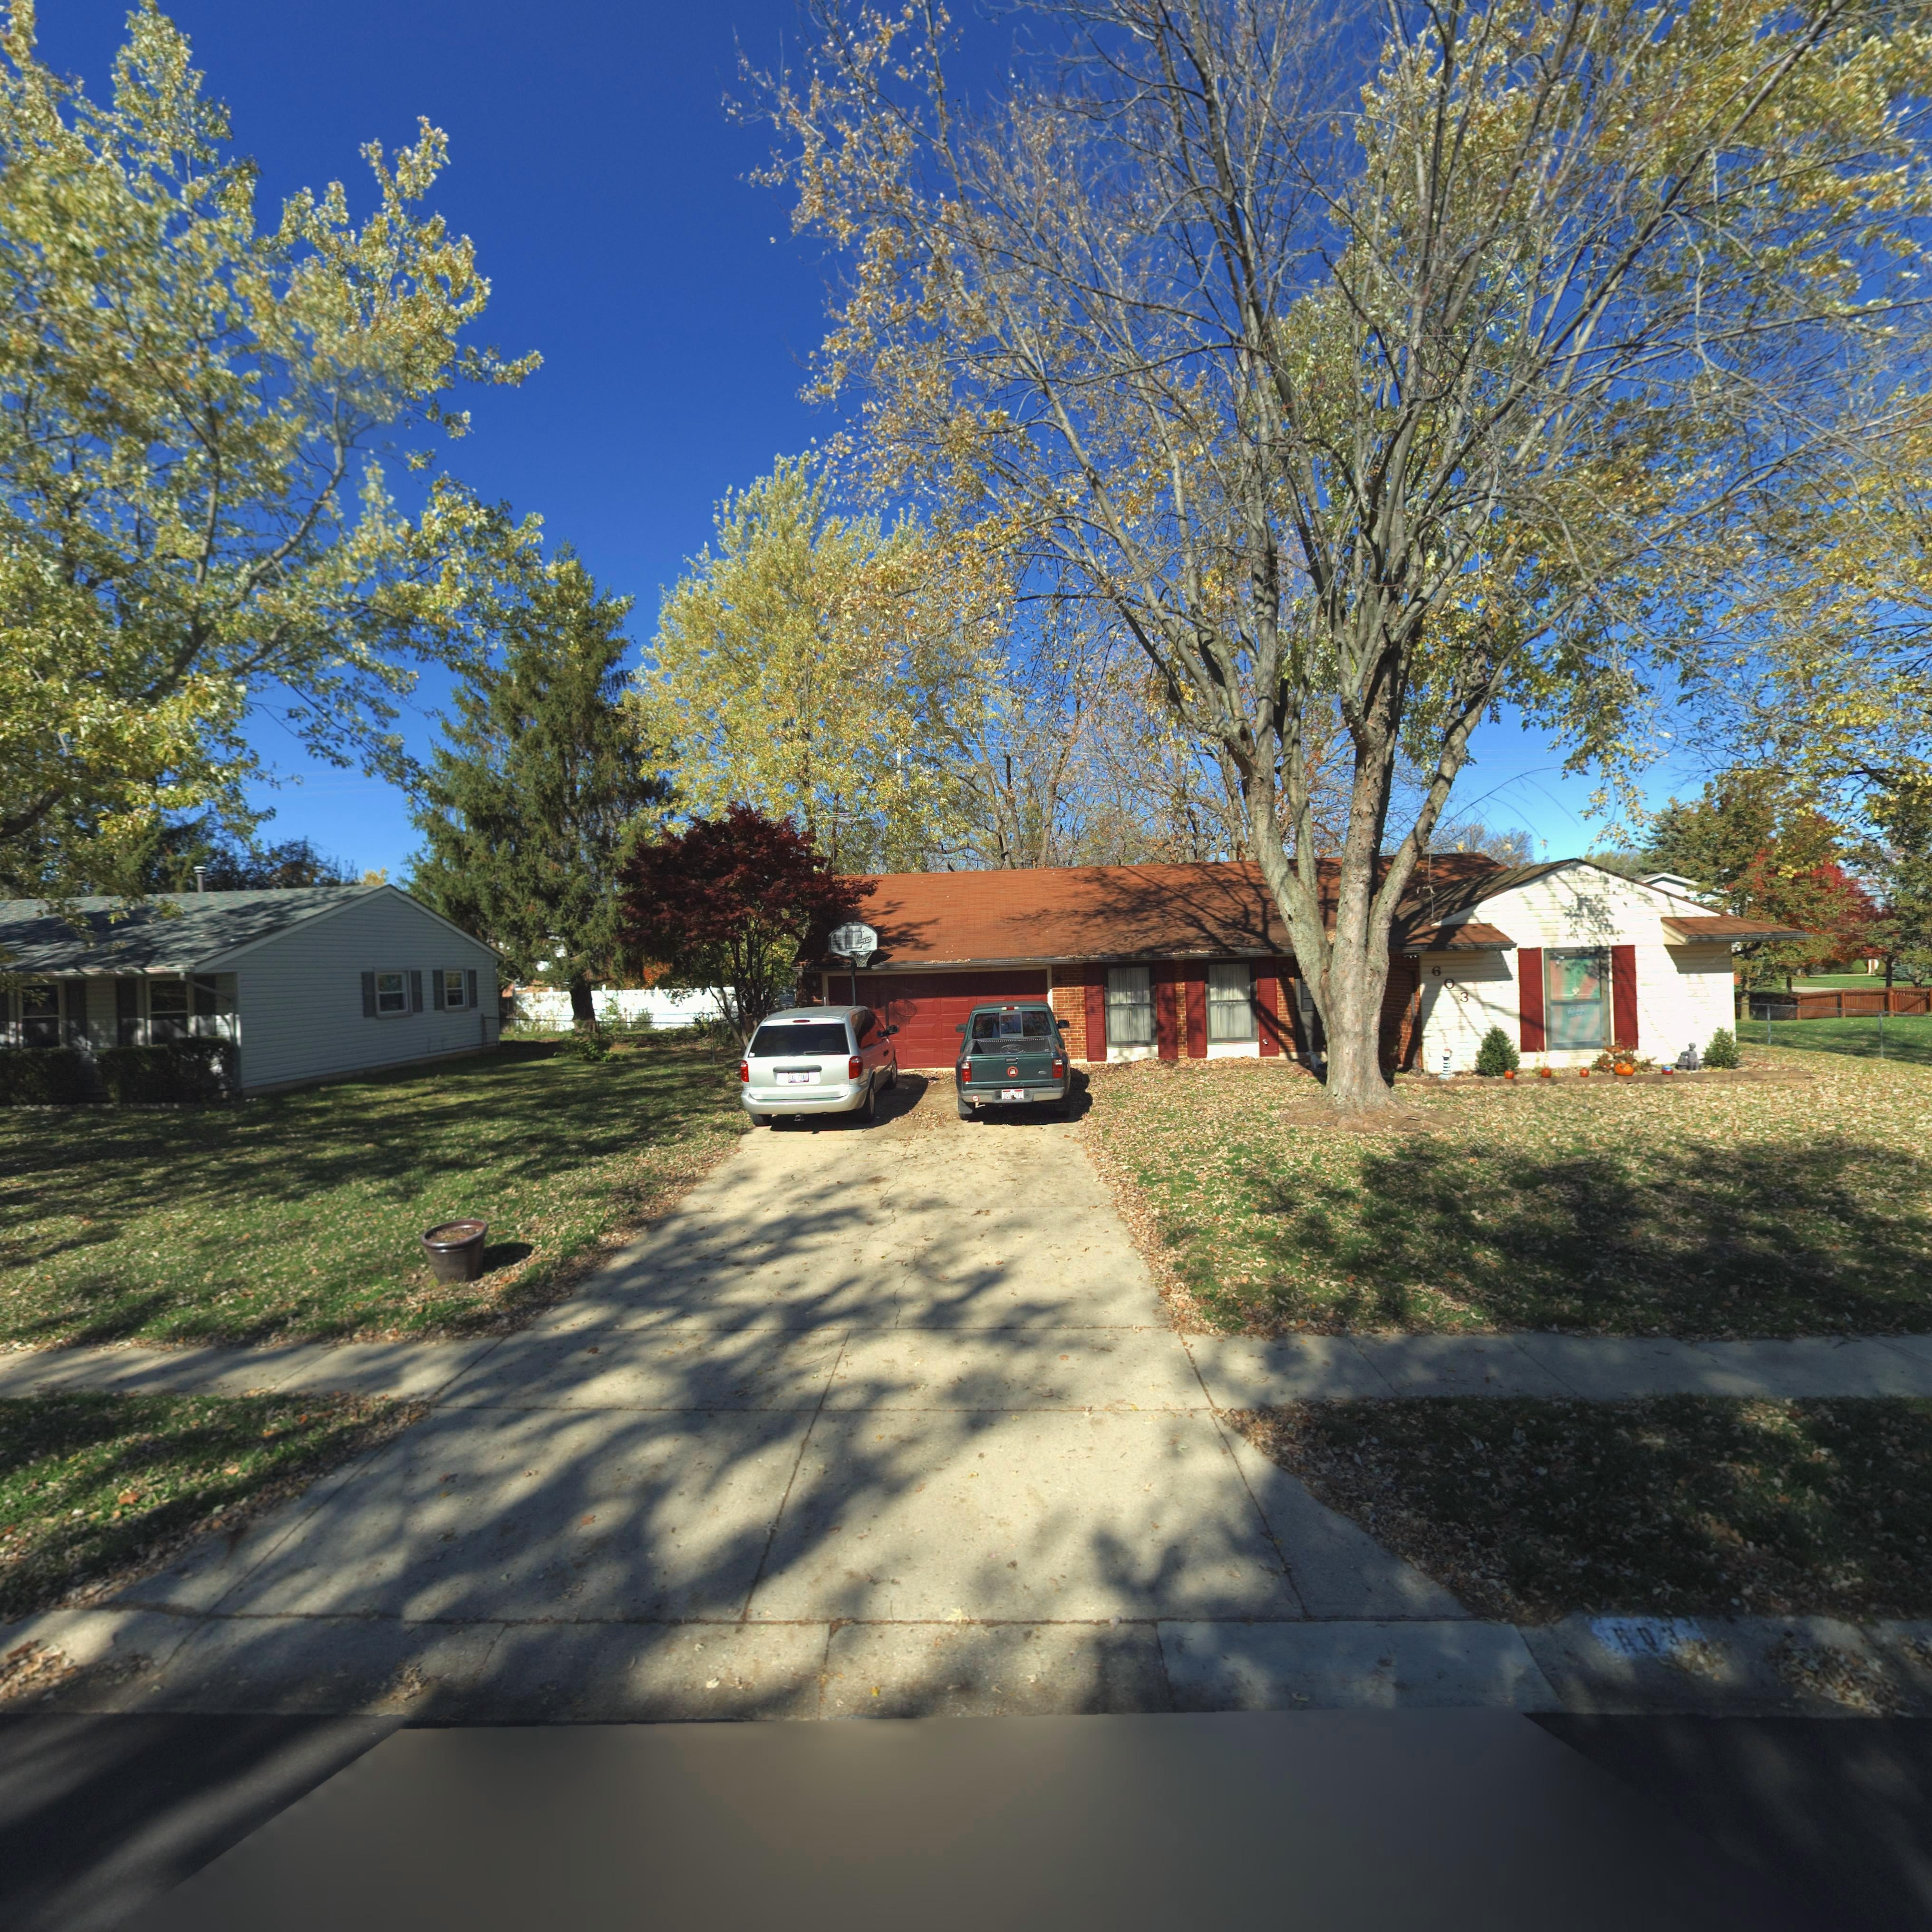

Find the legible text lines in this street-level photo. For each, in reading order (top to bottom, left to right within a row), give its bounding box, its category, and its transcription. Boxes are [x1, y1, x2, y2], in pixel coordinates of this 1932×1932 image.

[1431, 965, 1469, 1003] StreetNumber: 603
[1610, 1625, 1685, 1647] StreetNumber: 603